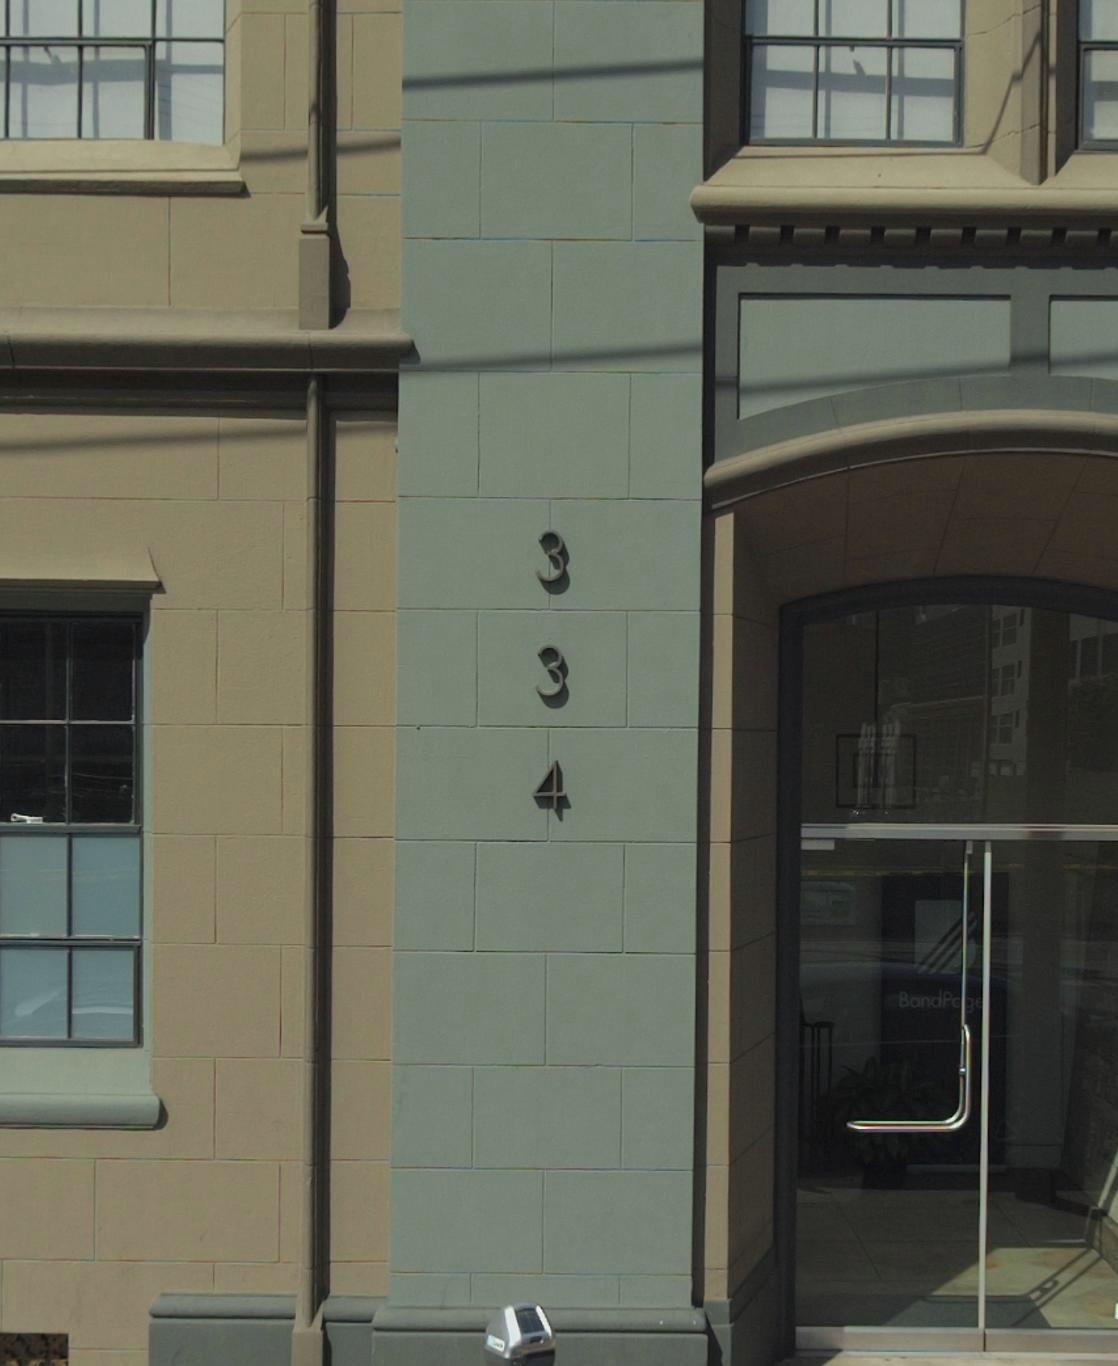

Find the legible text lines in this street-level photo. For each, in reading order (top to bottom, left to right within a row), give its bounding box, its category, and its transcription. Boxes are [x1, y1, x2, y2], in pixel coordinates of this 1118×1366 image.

[531, 525, 576, 828] StreetNumber: 334
[897, 987, 956, 1012] None: BandP